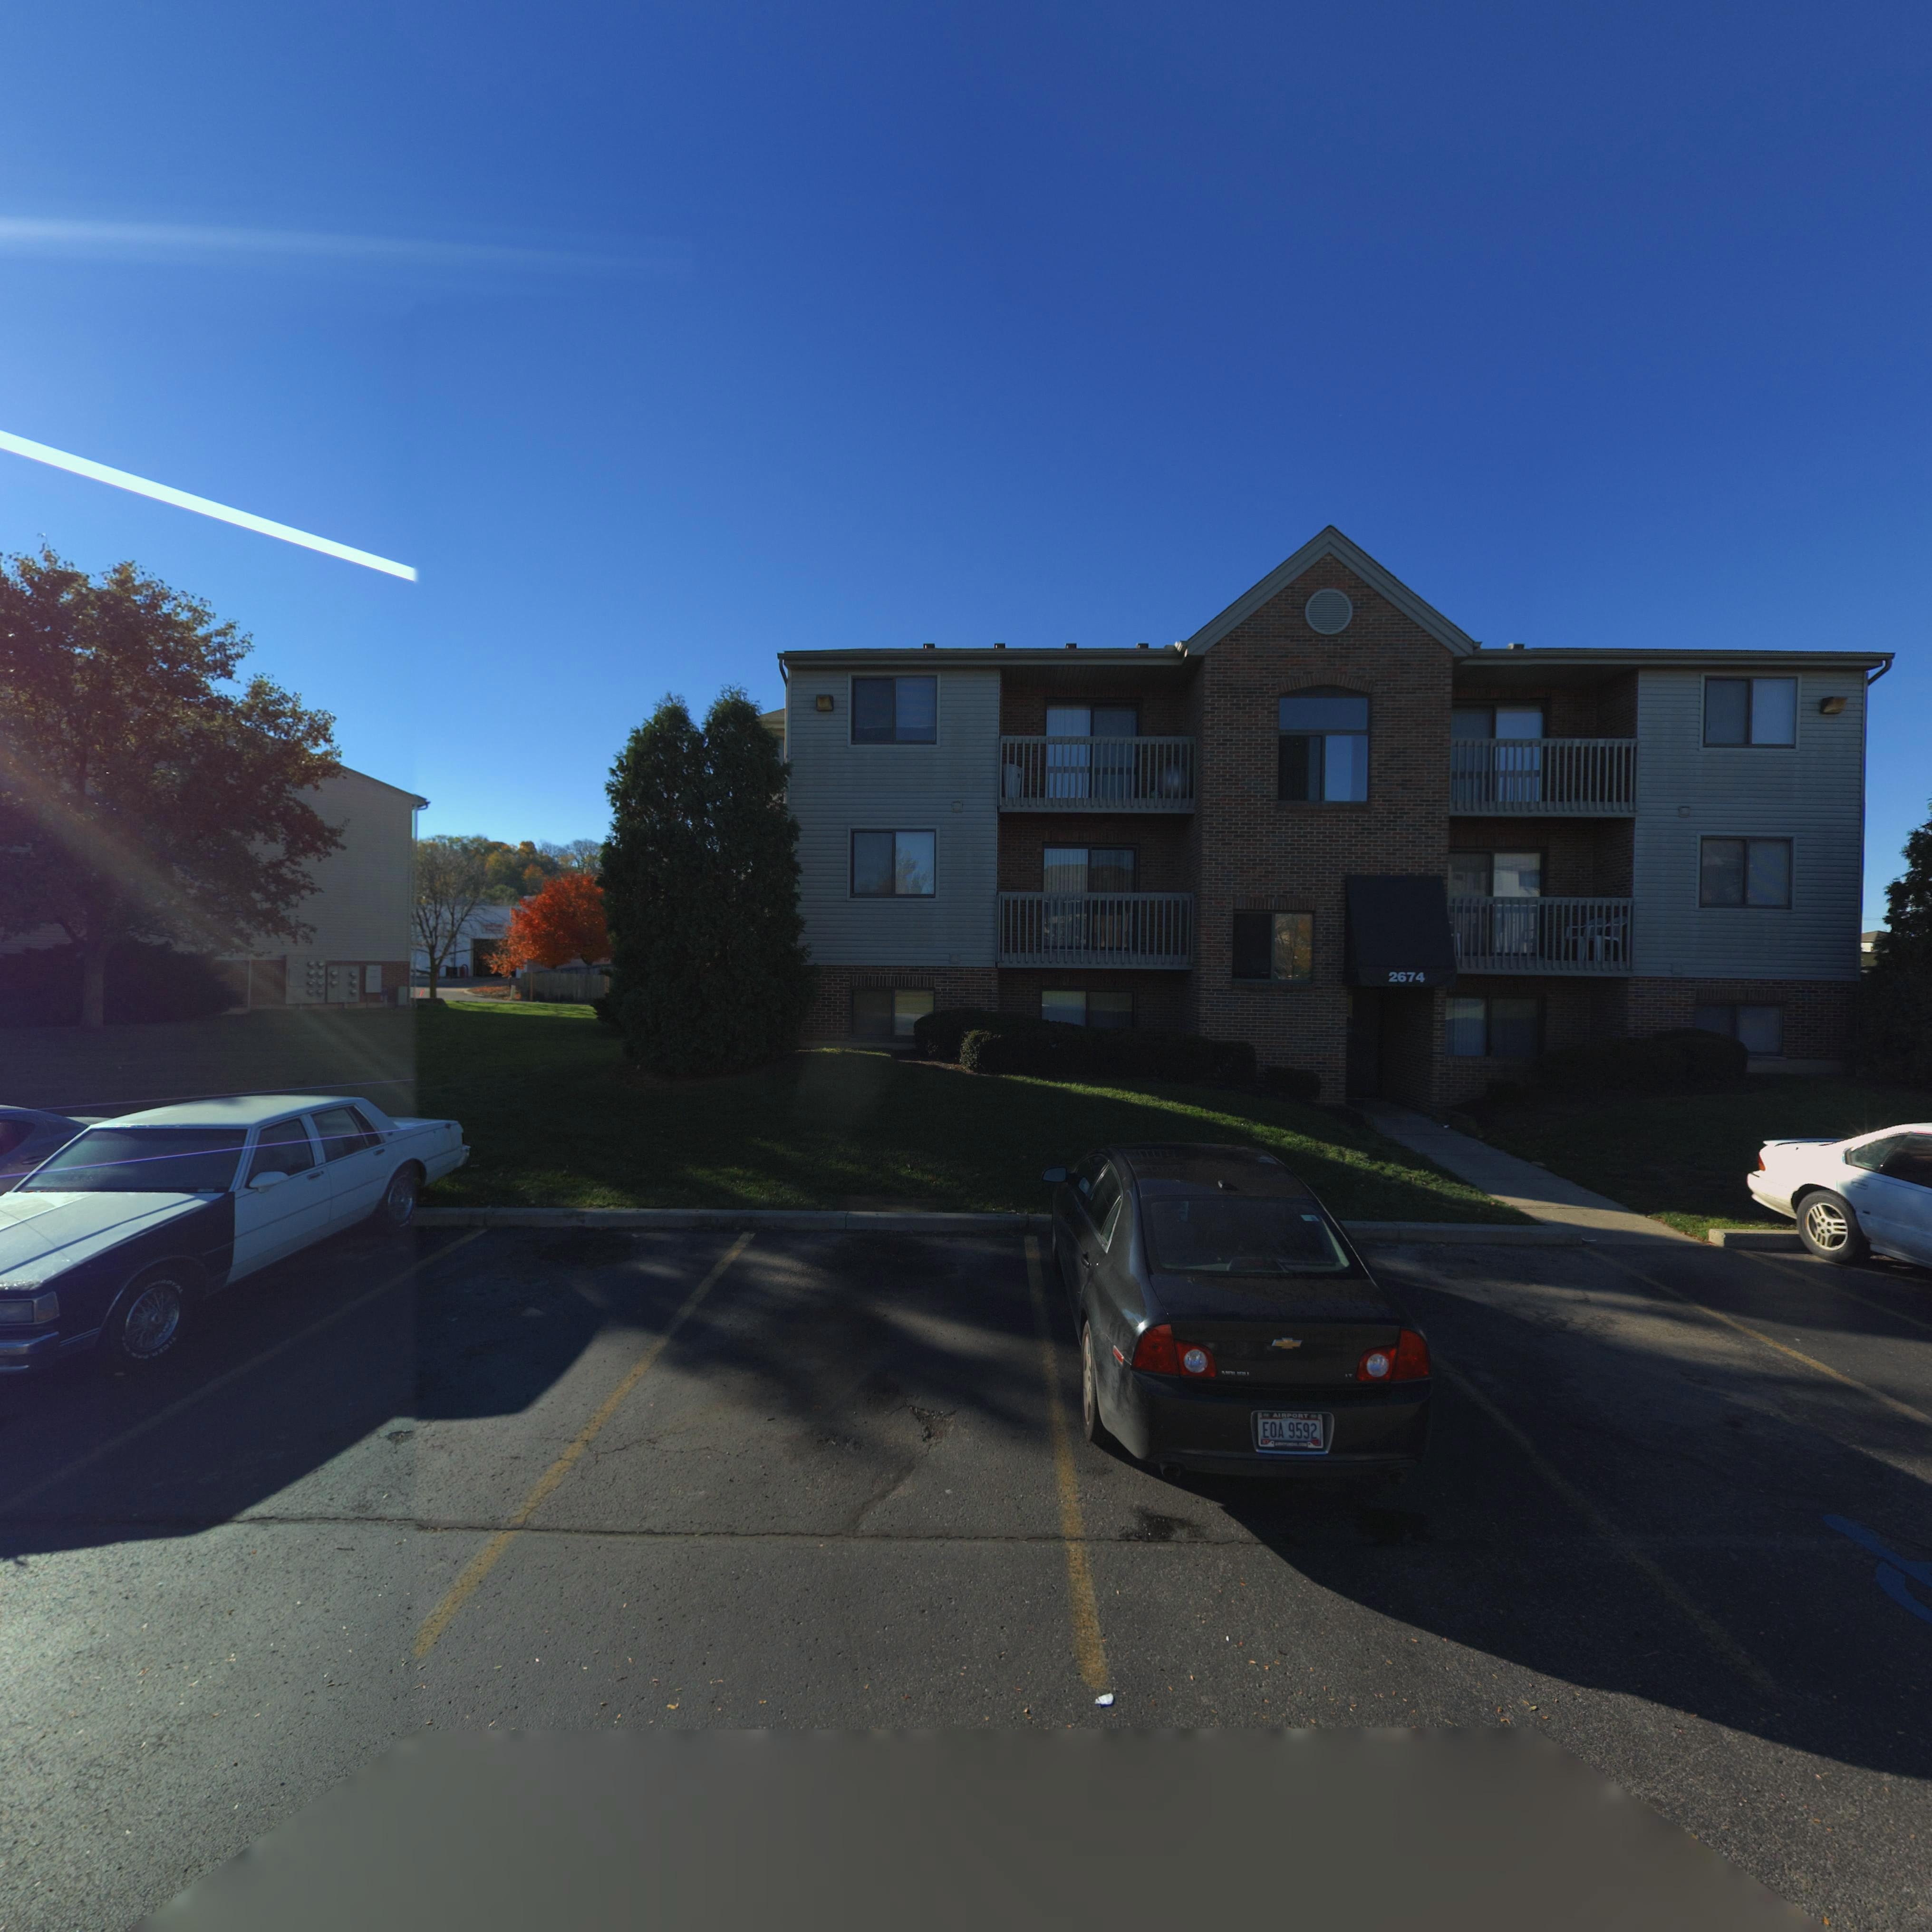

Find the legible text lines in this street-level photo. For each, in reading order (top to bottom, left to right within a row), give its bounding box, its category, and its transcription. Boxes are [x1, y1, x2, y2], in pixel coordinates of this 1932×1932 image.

[1388, 970, 1426, 984] StreetNumber: 2474